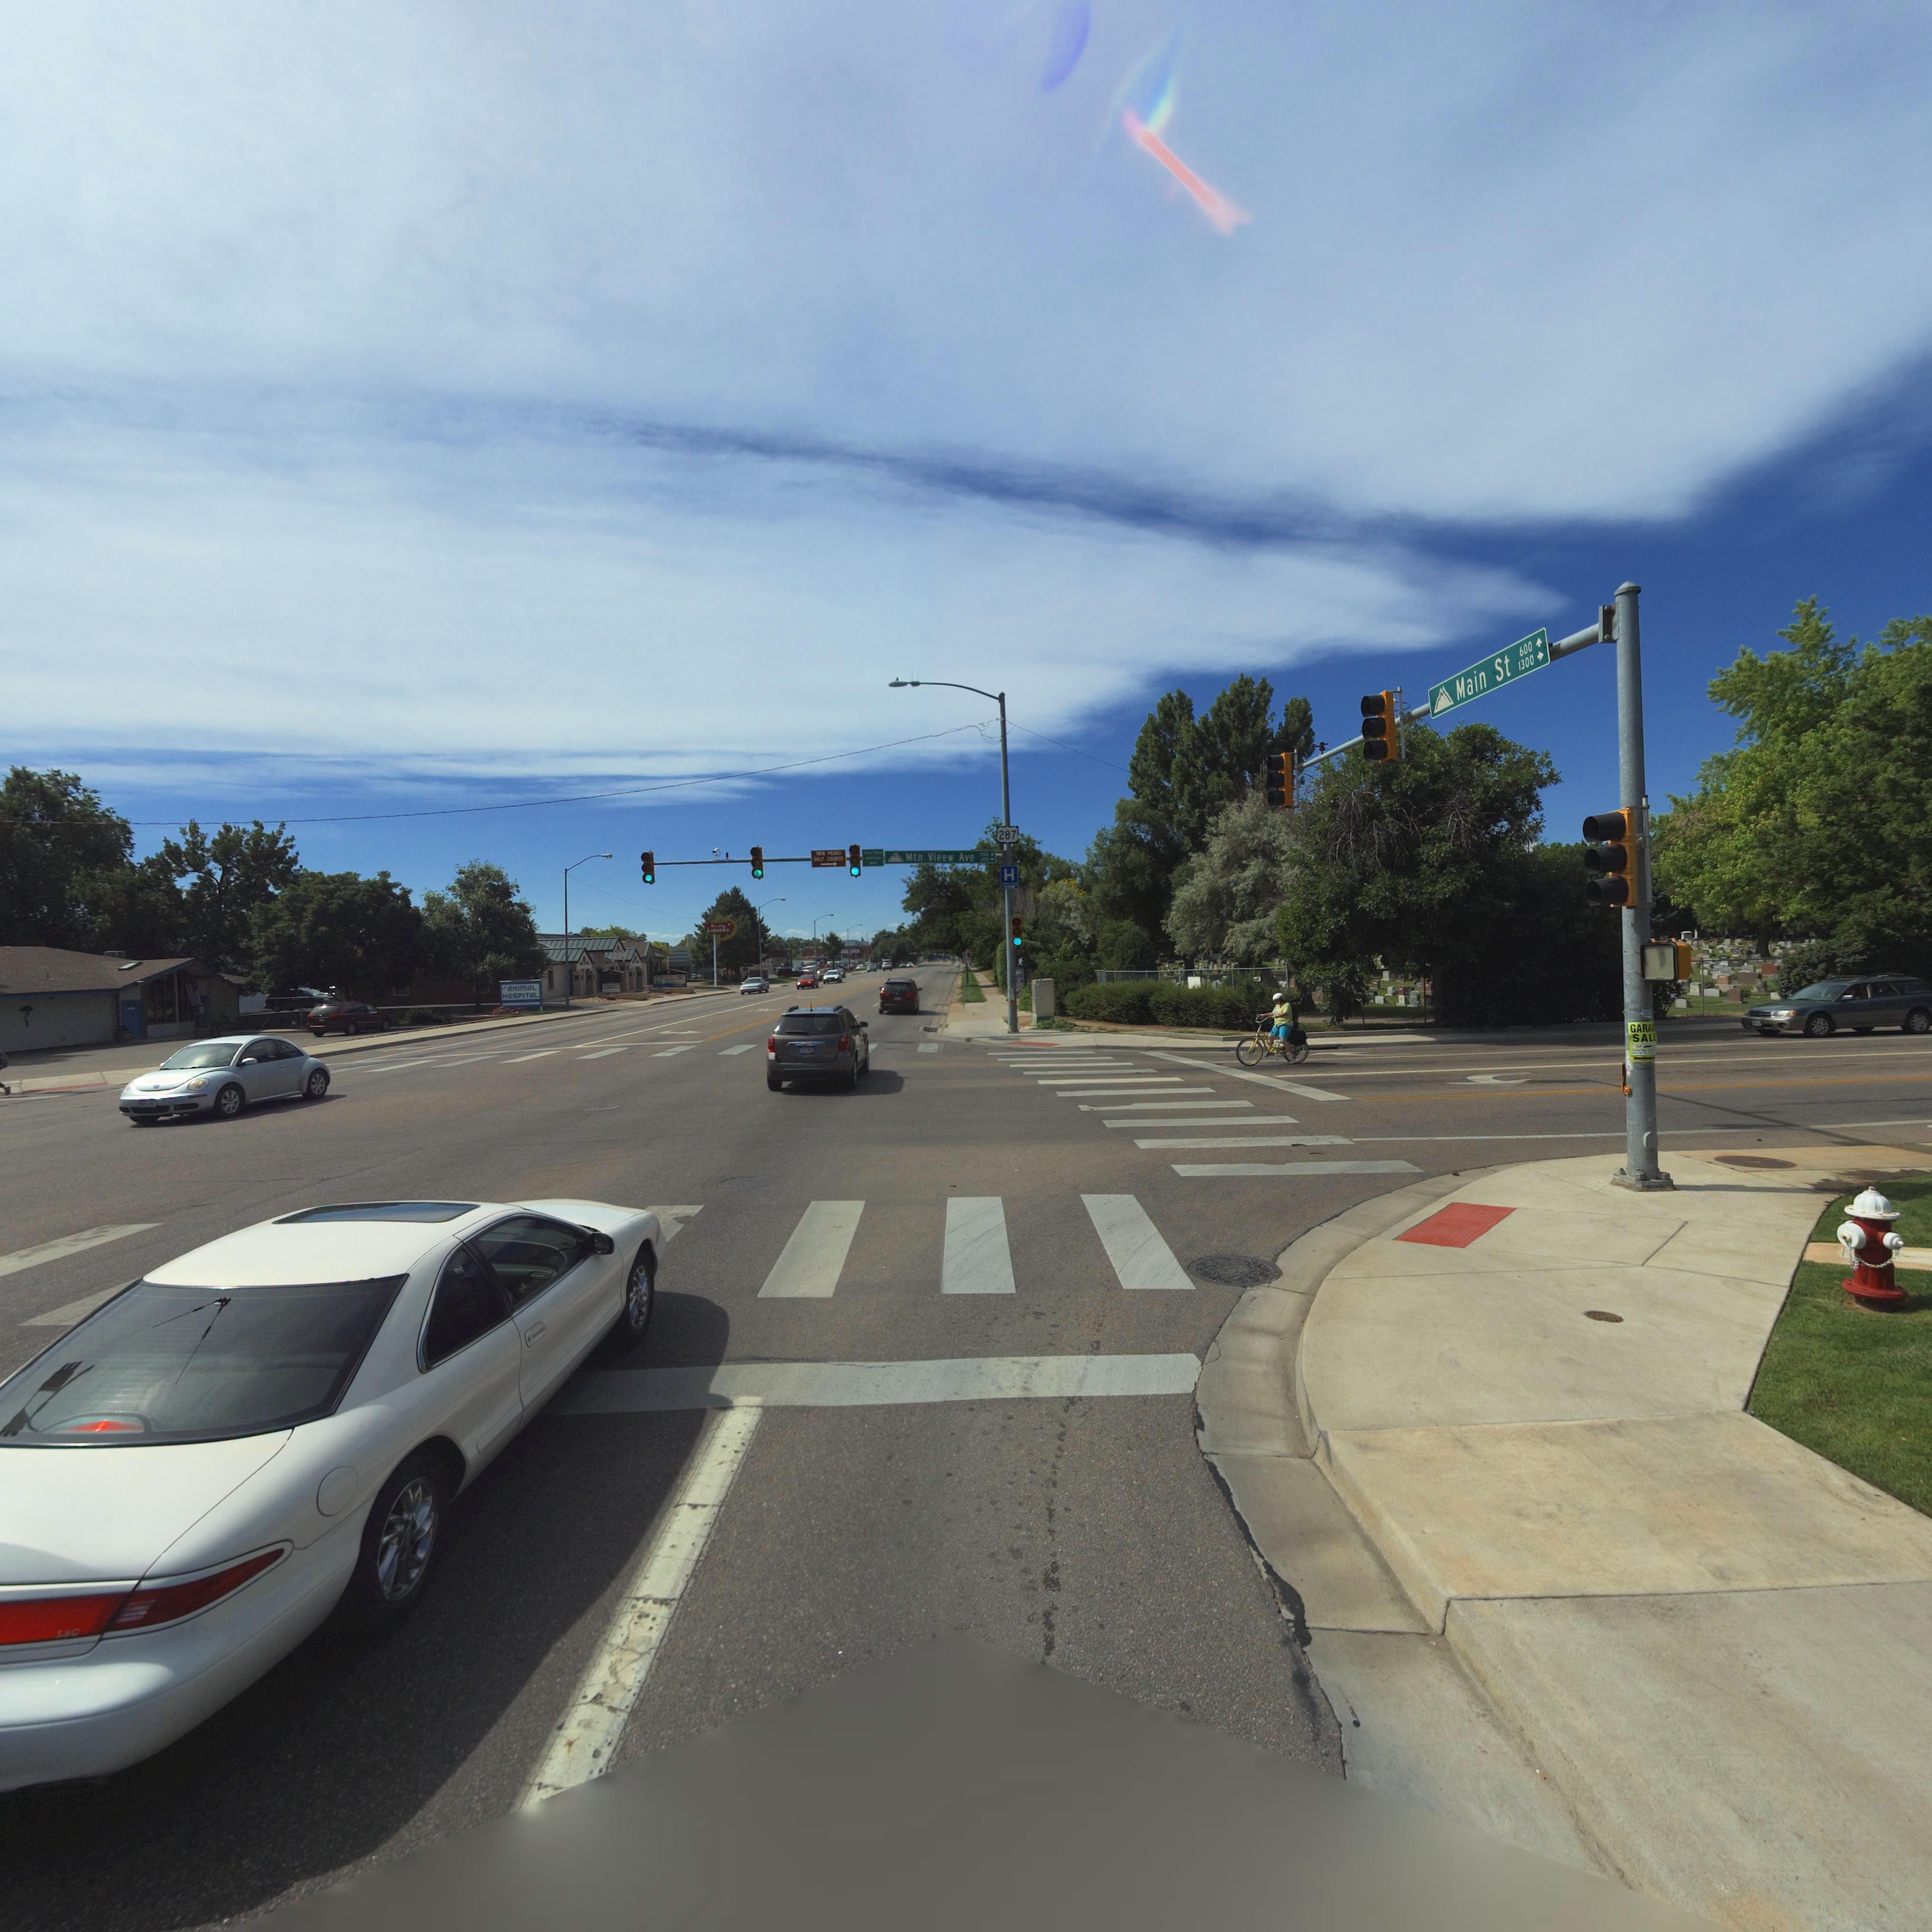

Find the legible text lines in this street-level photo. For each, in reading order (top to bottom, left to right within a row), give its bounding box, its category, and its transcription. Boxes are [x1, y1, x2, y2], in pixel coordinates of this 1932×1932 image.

[1519, 640, 1532, 657] StreetNumberRange: 600
[1517, 650, 1545, 672] StreetNumberRange: 1300->
[1455, 653, 1511, 701] StreetName: Main St
[905, 852, 975, 862] StreetName: Mtn Vieew Ave
[978, 851, 989, 857] StreetNumberRange: 120*
[980, 857, 989, 861] StreetNumberRange: 600
[710, 923, 726, 928] BusinessName: Q******
[706, 927, 729, 933] BusinessName: LIQUO**
[507, 985, 537, 992] BusinessName: ANIMAL
[502, 992, 539, 999] BusinessName: HOSPITAL